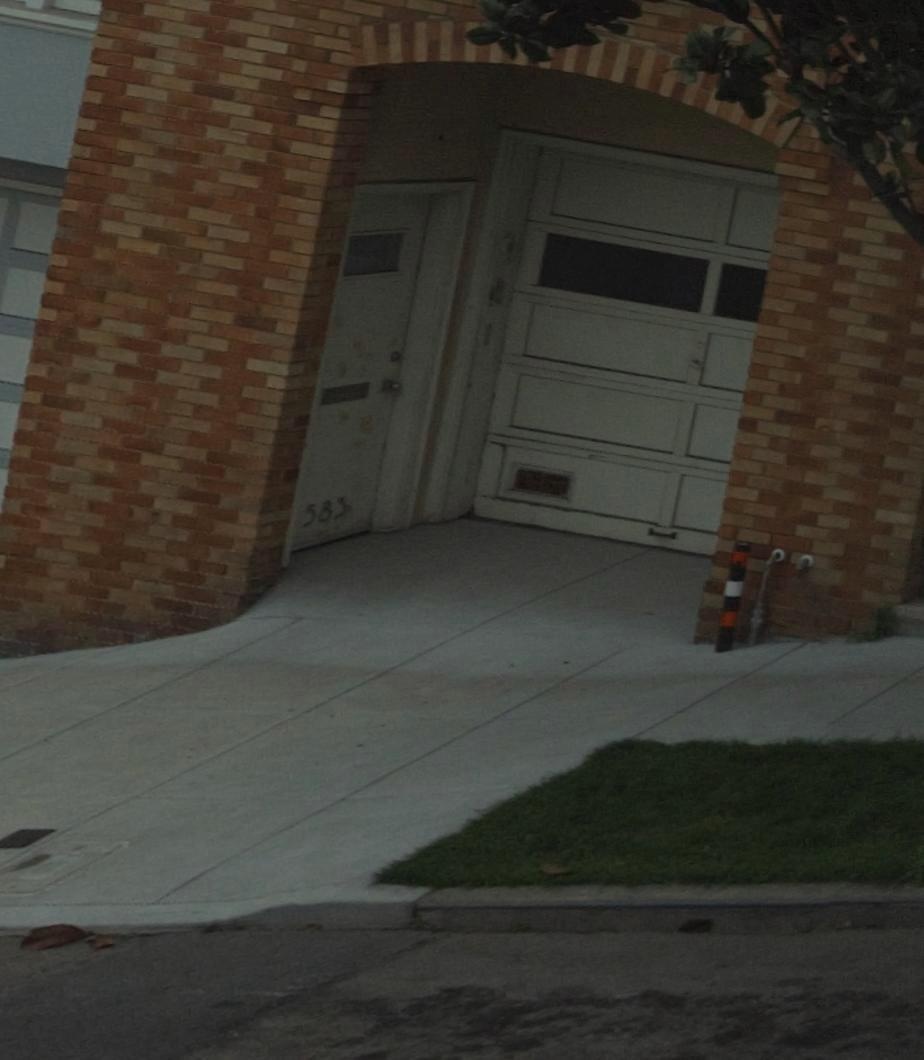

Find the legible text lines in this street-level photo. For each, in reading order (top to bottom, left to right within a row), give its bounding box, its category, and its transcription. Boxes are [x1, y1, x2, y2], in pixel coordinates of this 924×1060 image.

[301, 493, 351, 531] StreetNumber: 58*